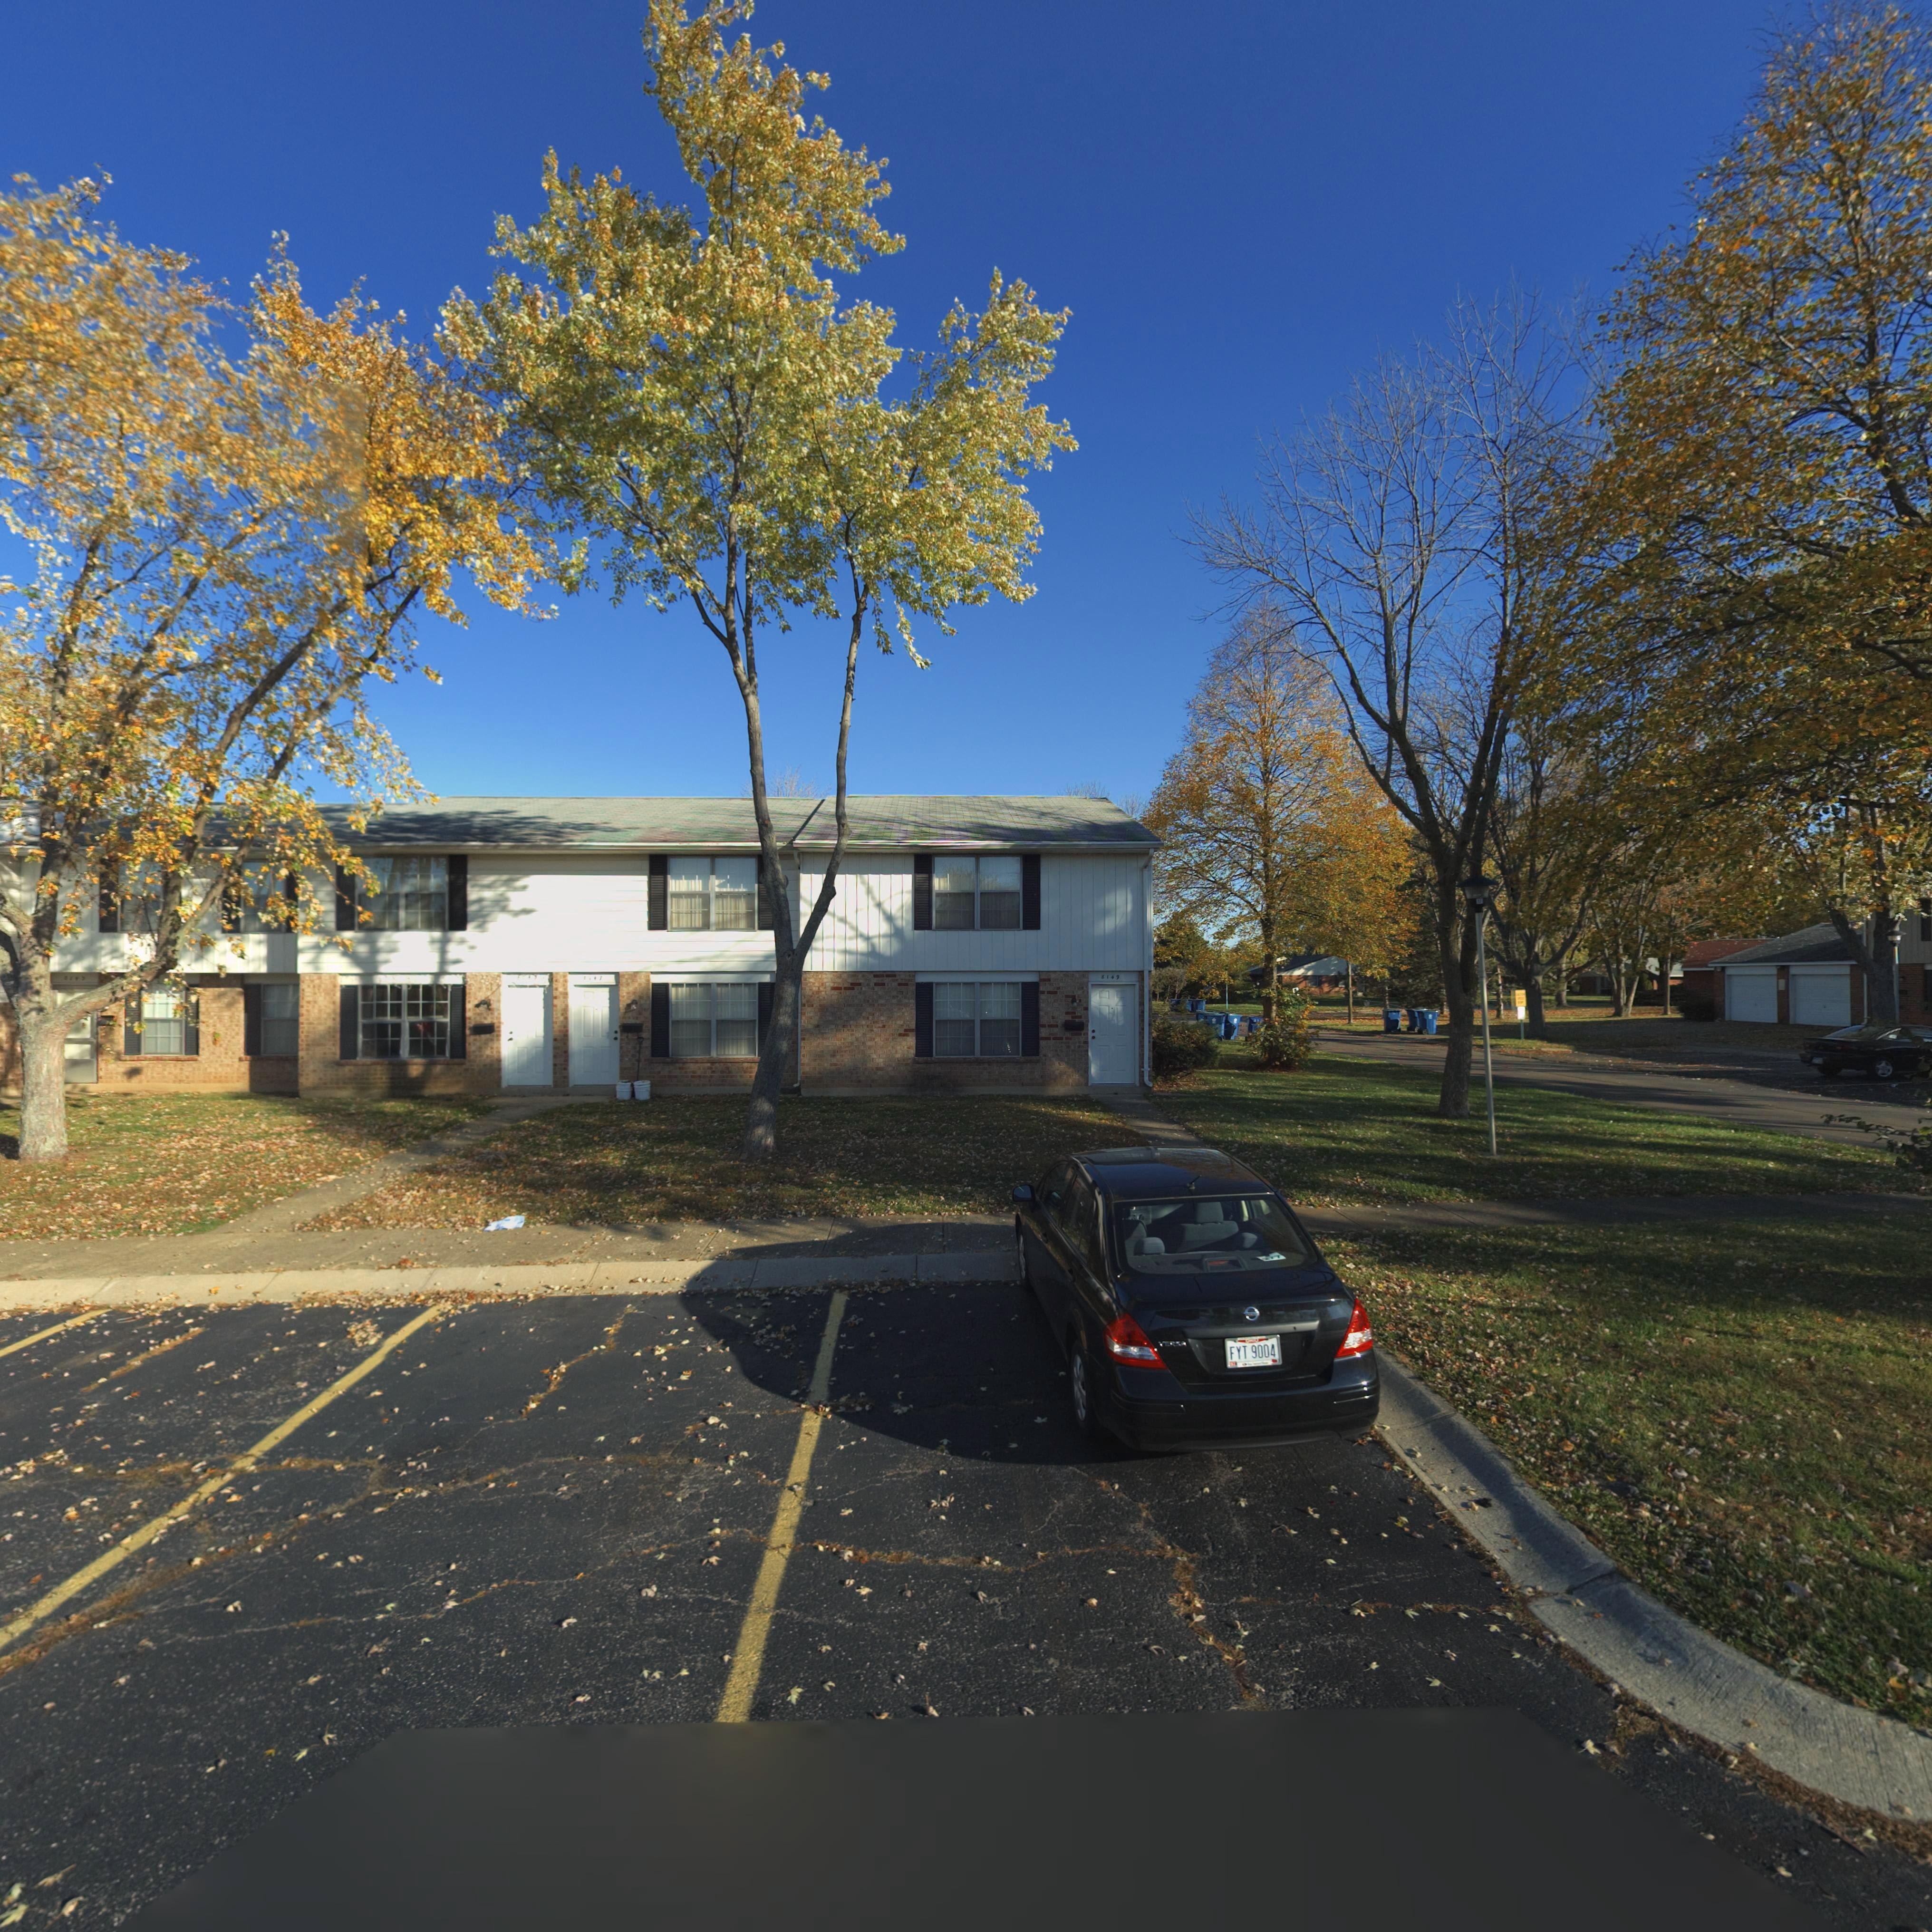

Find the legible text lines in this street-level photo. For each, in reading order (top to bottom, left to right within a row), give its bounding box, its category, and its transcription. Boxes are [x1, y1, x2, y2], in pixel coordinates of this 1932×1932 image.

[1100, 974, 1121, 981] StreetNumber: 8149
[1227, 1343, 1277, 1362] None: FYT 9004